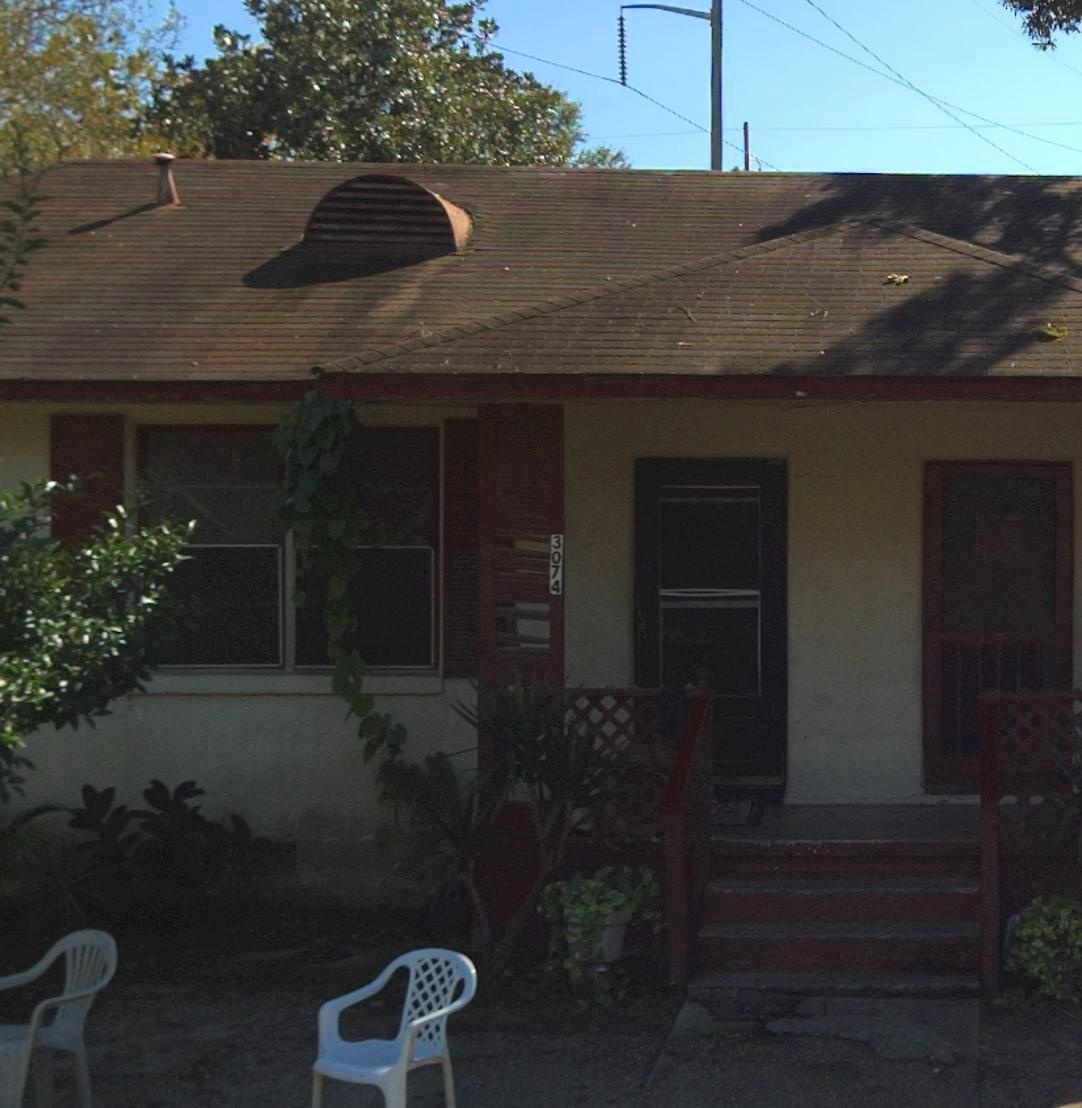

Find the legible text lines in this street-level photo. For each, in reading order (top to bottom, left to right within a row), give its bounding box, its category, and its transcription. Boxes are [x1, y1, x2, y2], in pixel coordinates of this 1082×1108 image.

[551, 535, 562, 594] StreetNumber: 3074